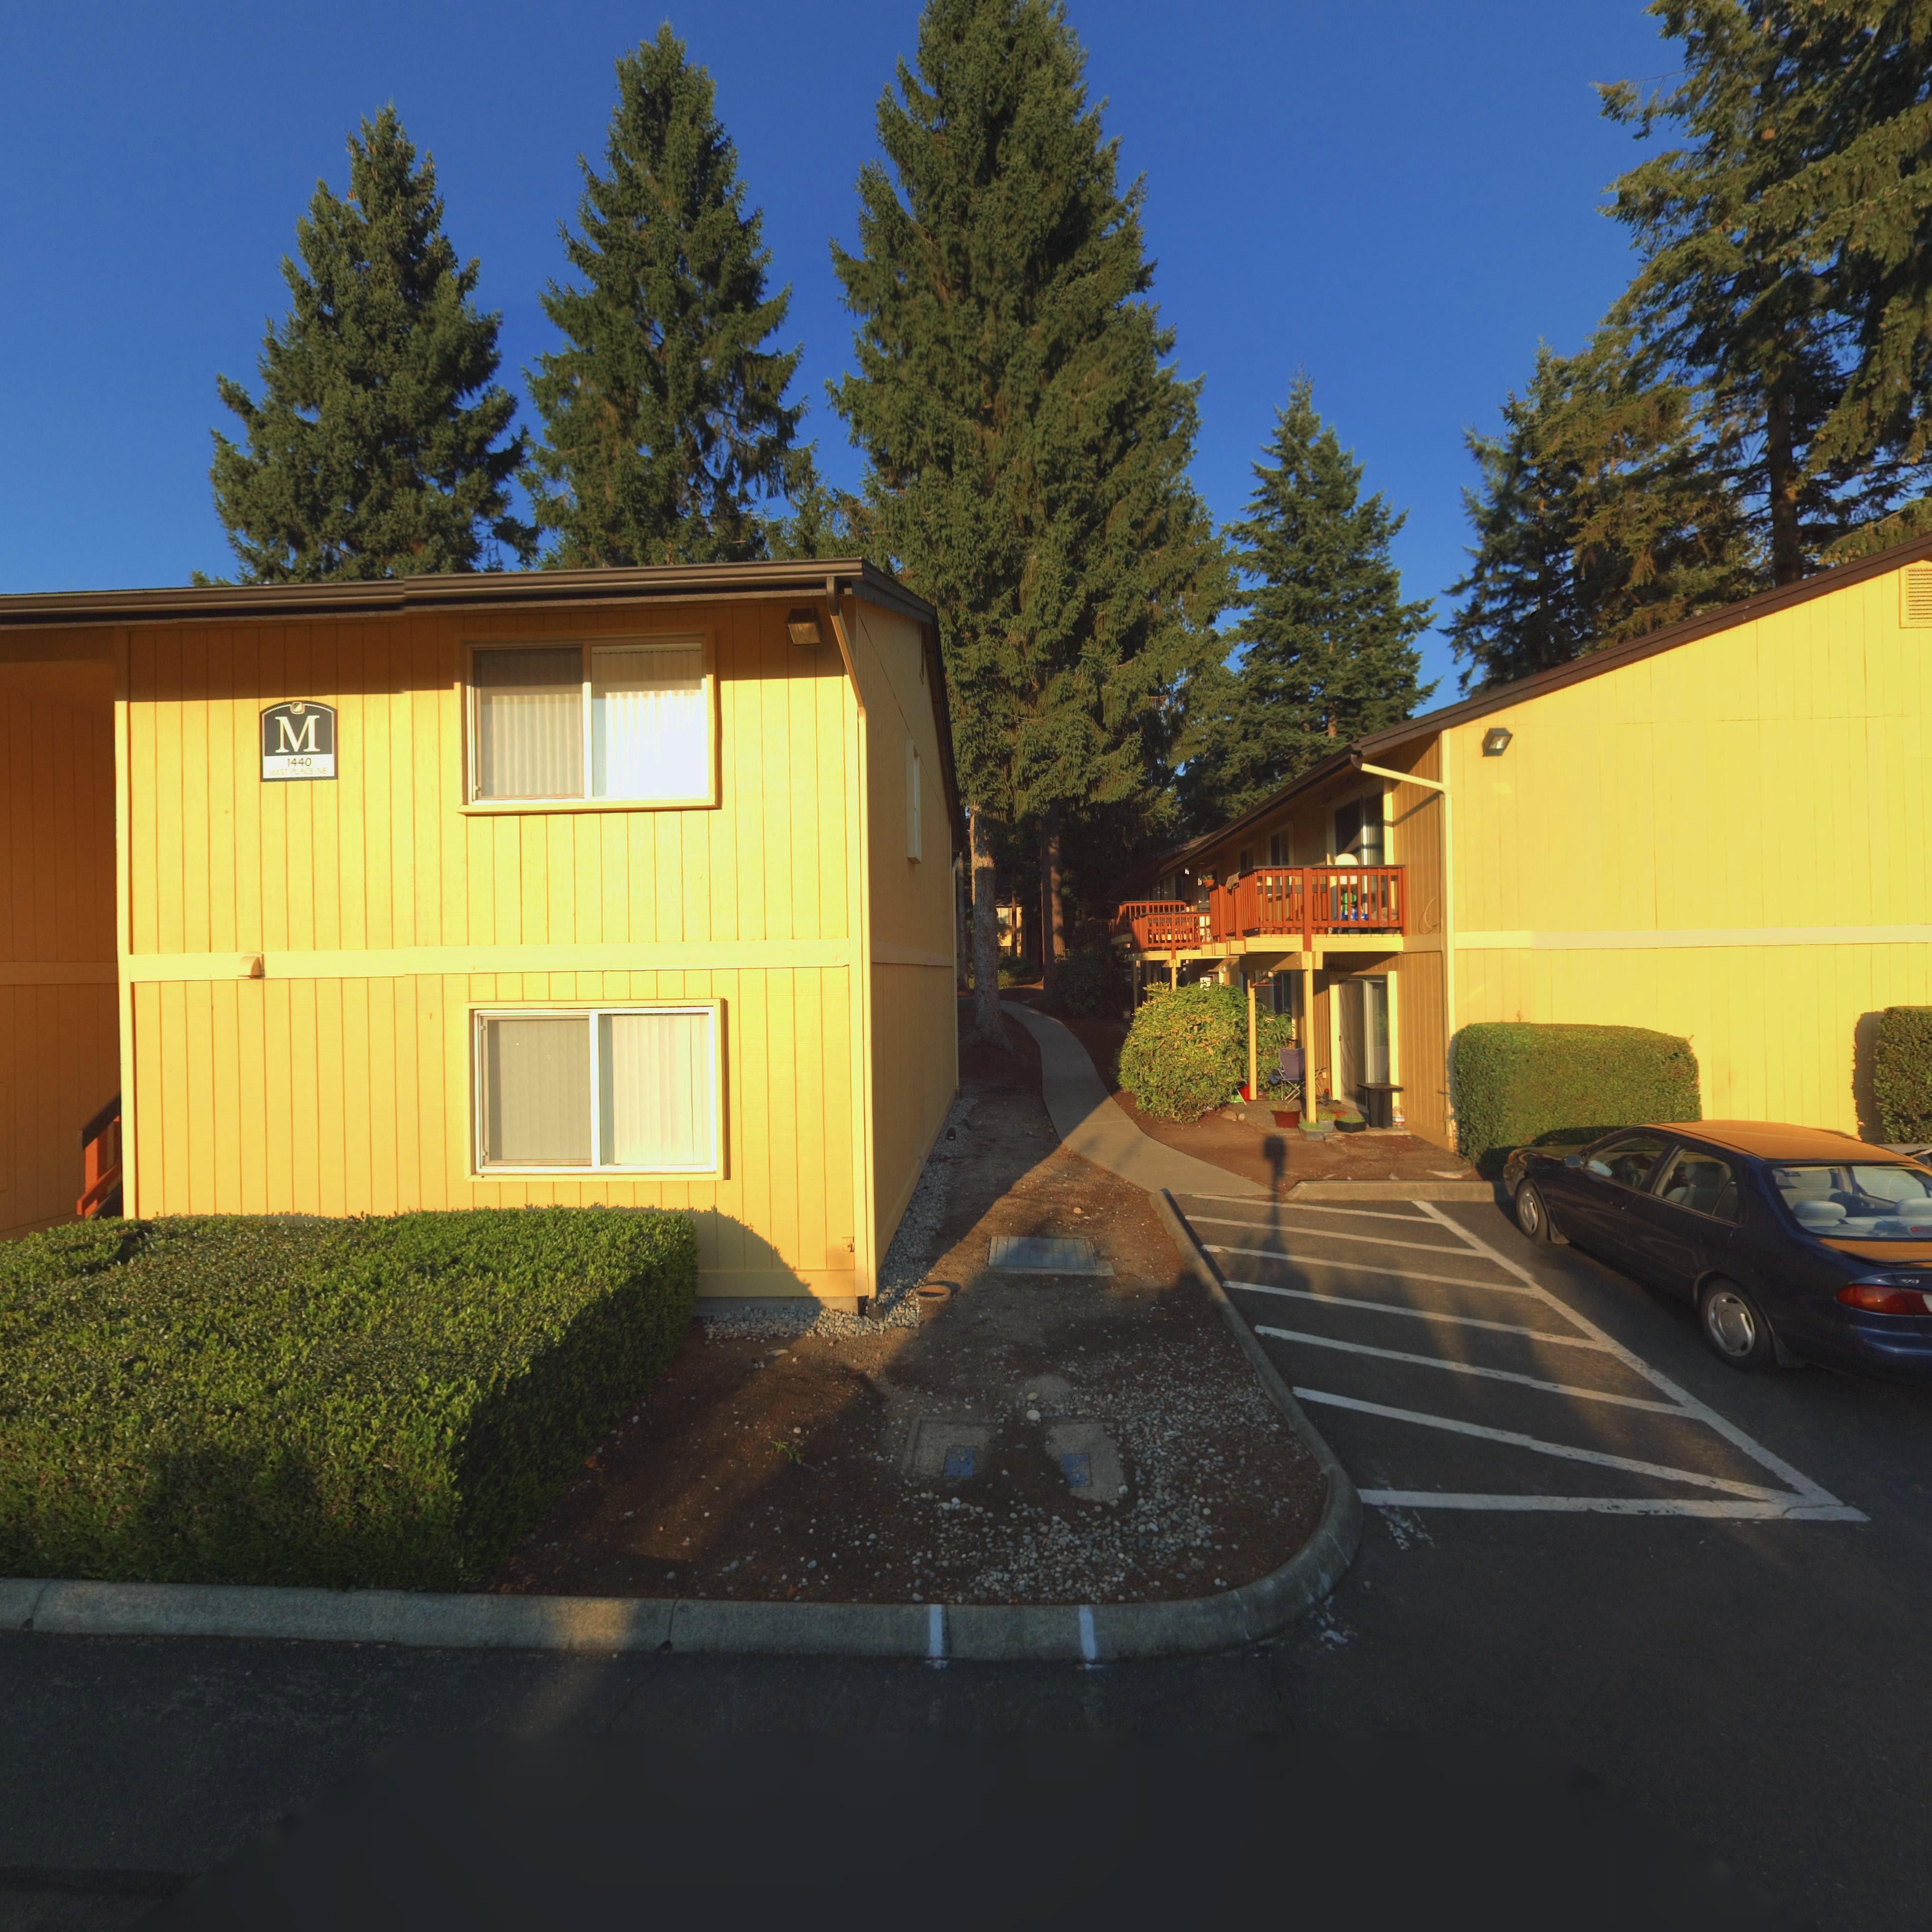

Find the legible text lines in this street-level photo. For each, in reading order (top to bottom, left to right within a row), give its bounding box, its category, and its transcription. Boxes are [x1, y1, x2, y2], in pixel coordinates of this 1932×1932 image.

[287, 756, 311, 767] StreetNumber: 1440
[290, 766, 327, 776] StreetName: PLACE NE